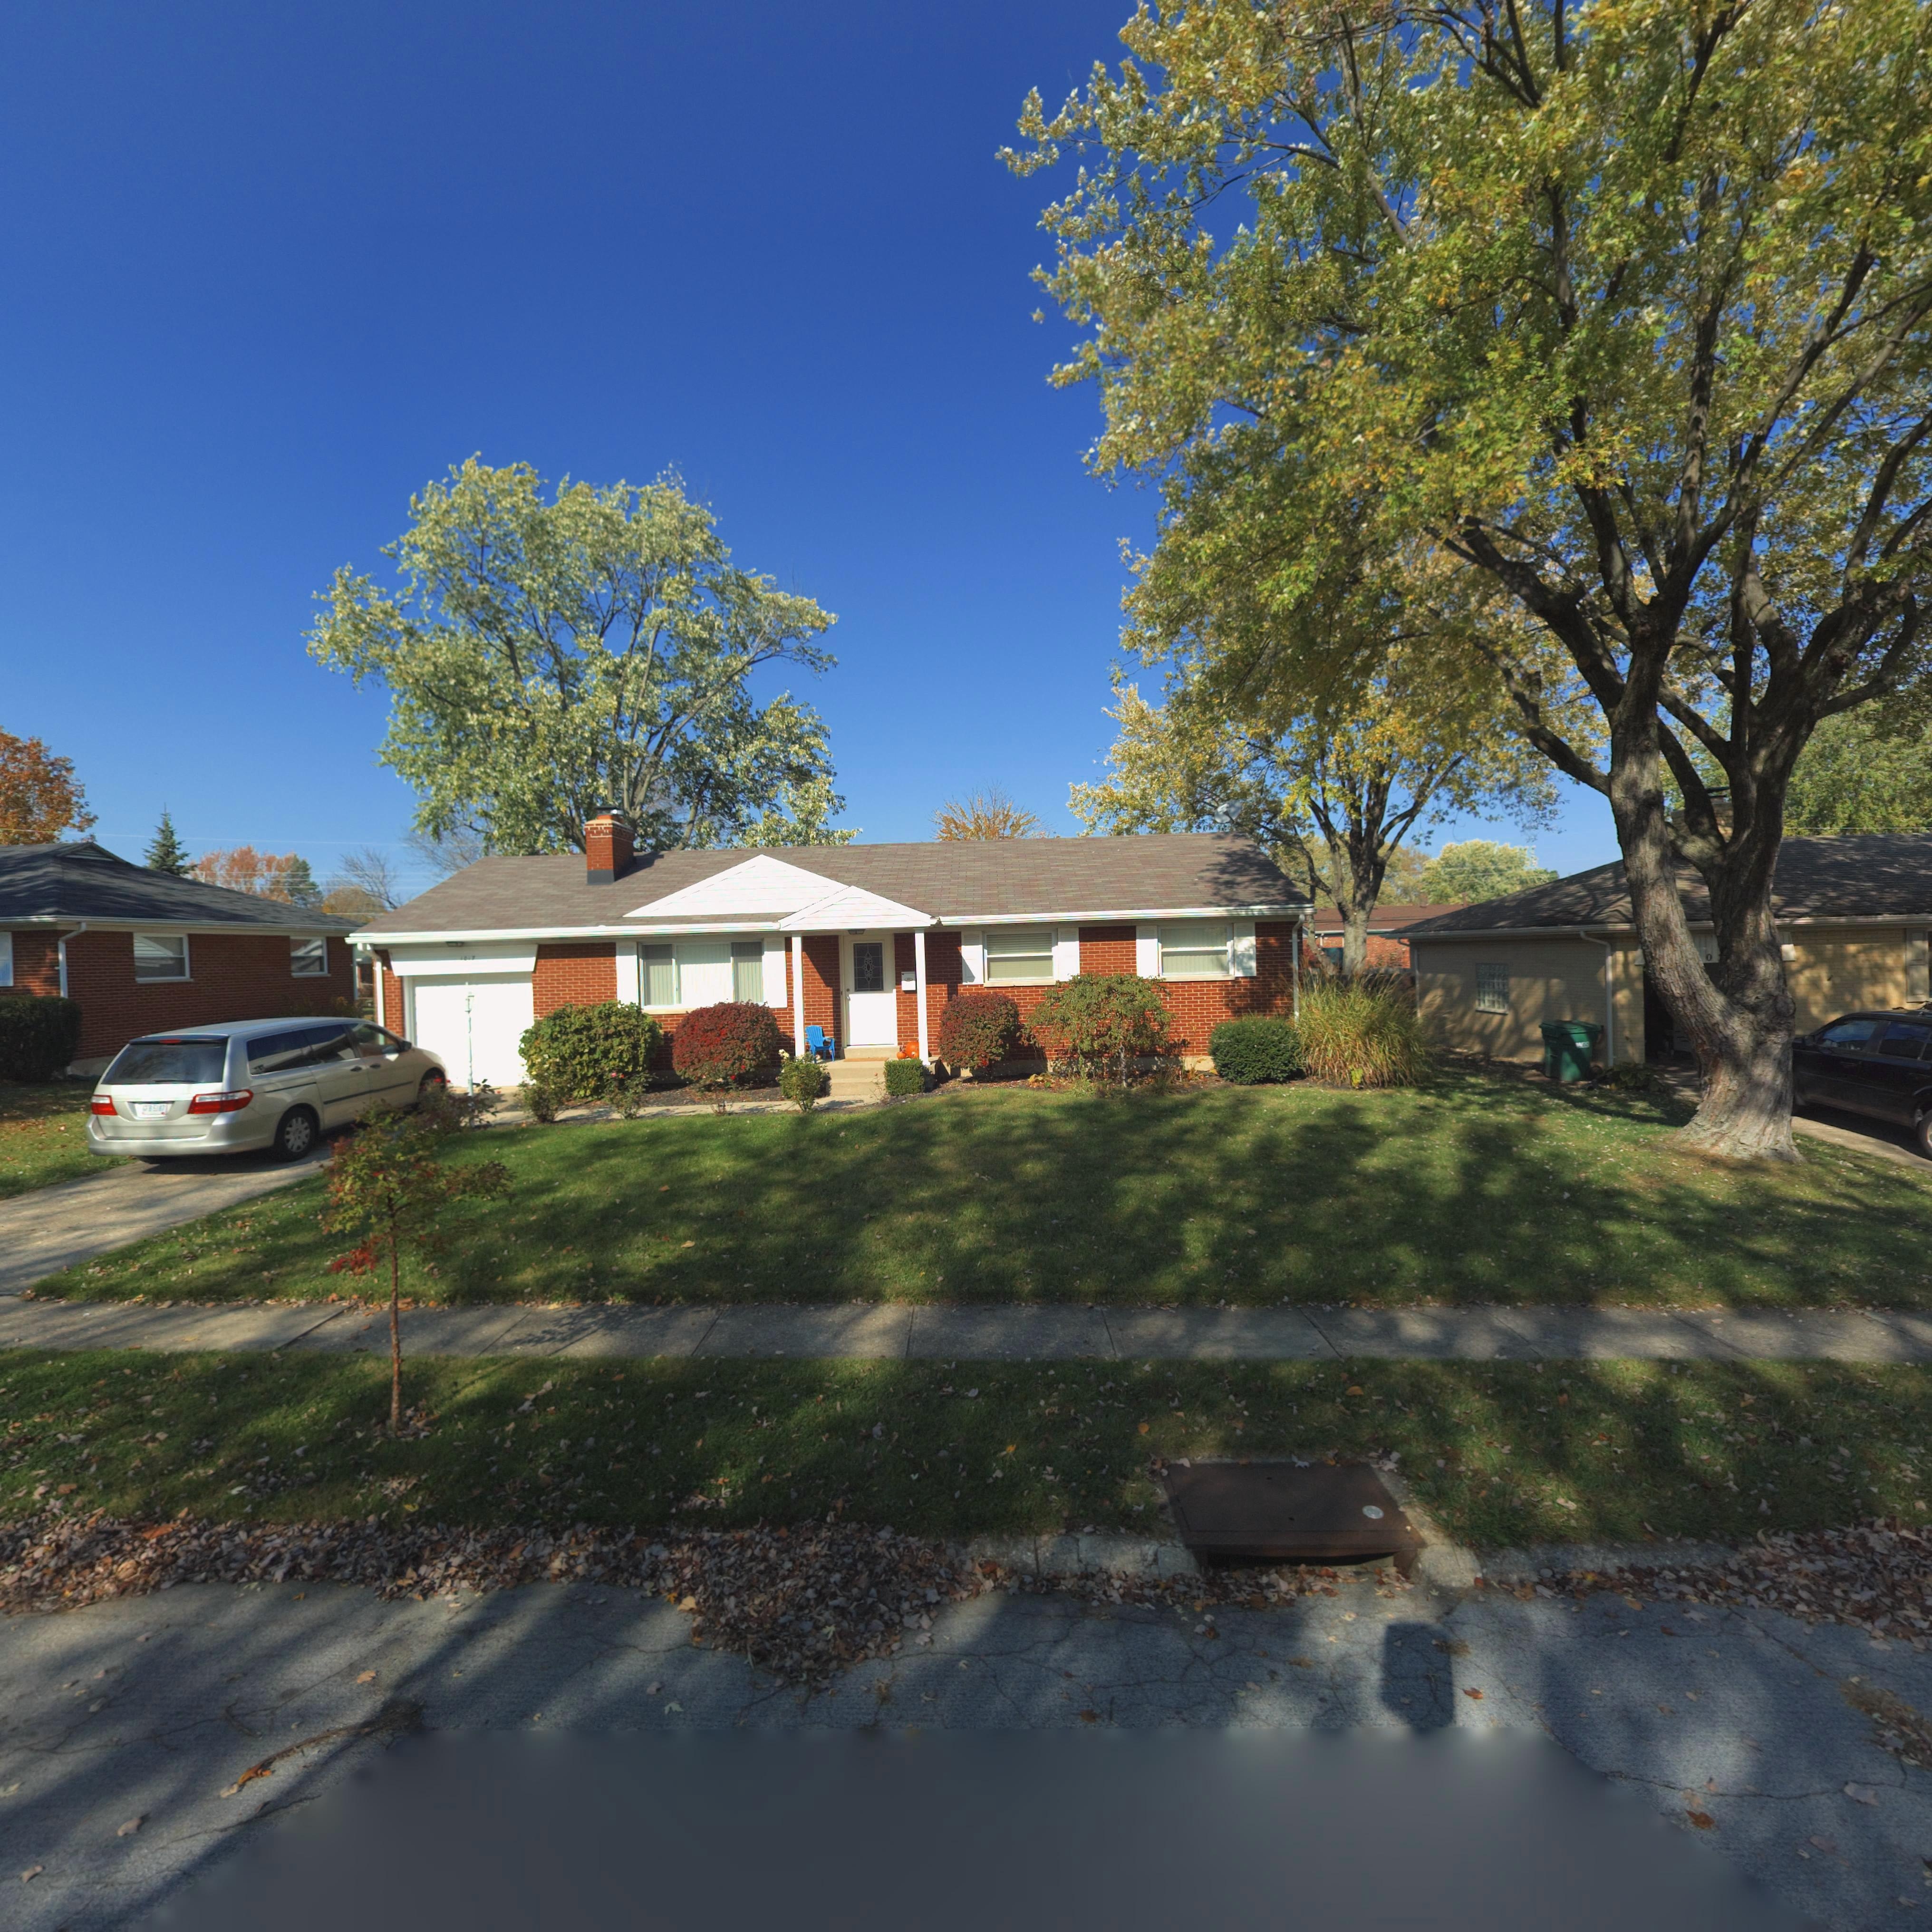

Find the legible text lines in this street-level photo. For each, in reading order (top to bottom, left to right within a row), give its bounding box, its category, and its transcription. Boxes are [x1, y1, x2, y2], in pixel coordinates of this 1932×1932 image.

[459, 954, 476, 962] StreetNumber: 101*